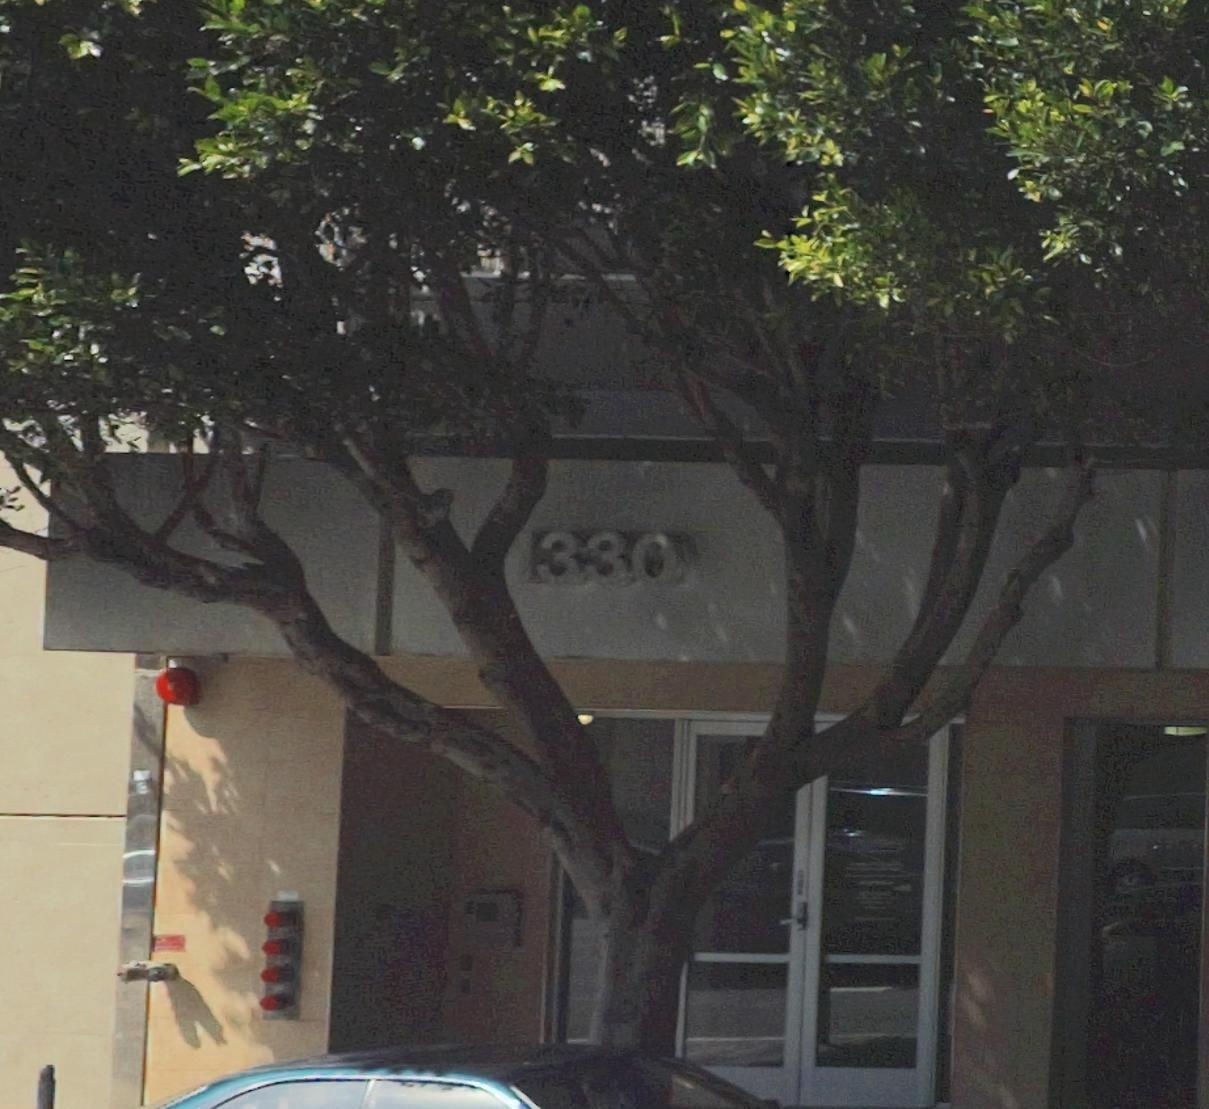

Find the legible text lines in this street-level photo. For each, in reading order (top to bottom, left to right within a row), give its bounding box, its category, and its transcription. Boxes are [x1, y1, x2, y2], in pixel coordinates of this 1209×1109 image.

[513, 528, 677, 587] StreetNumber: 1330